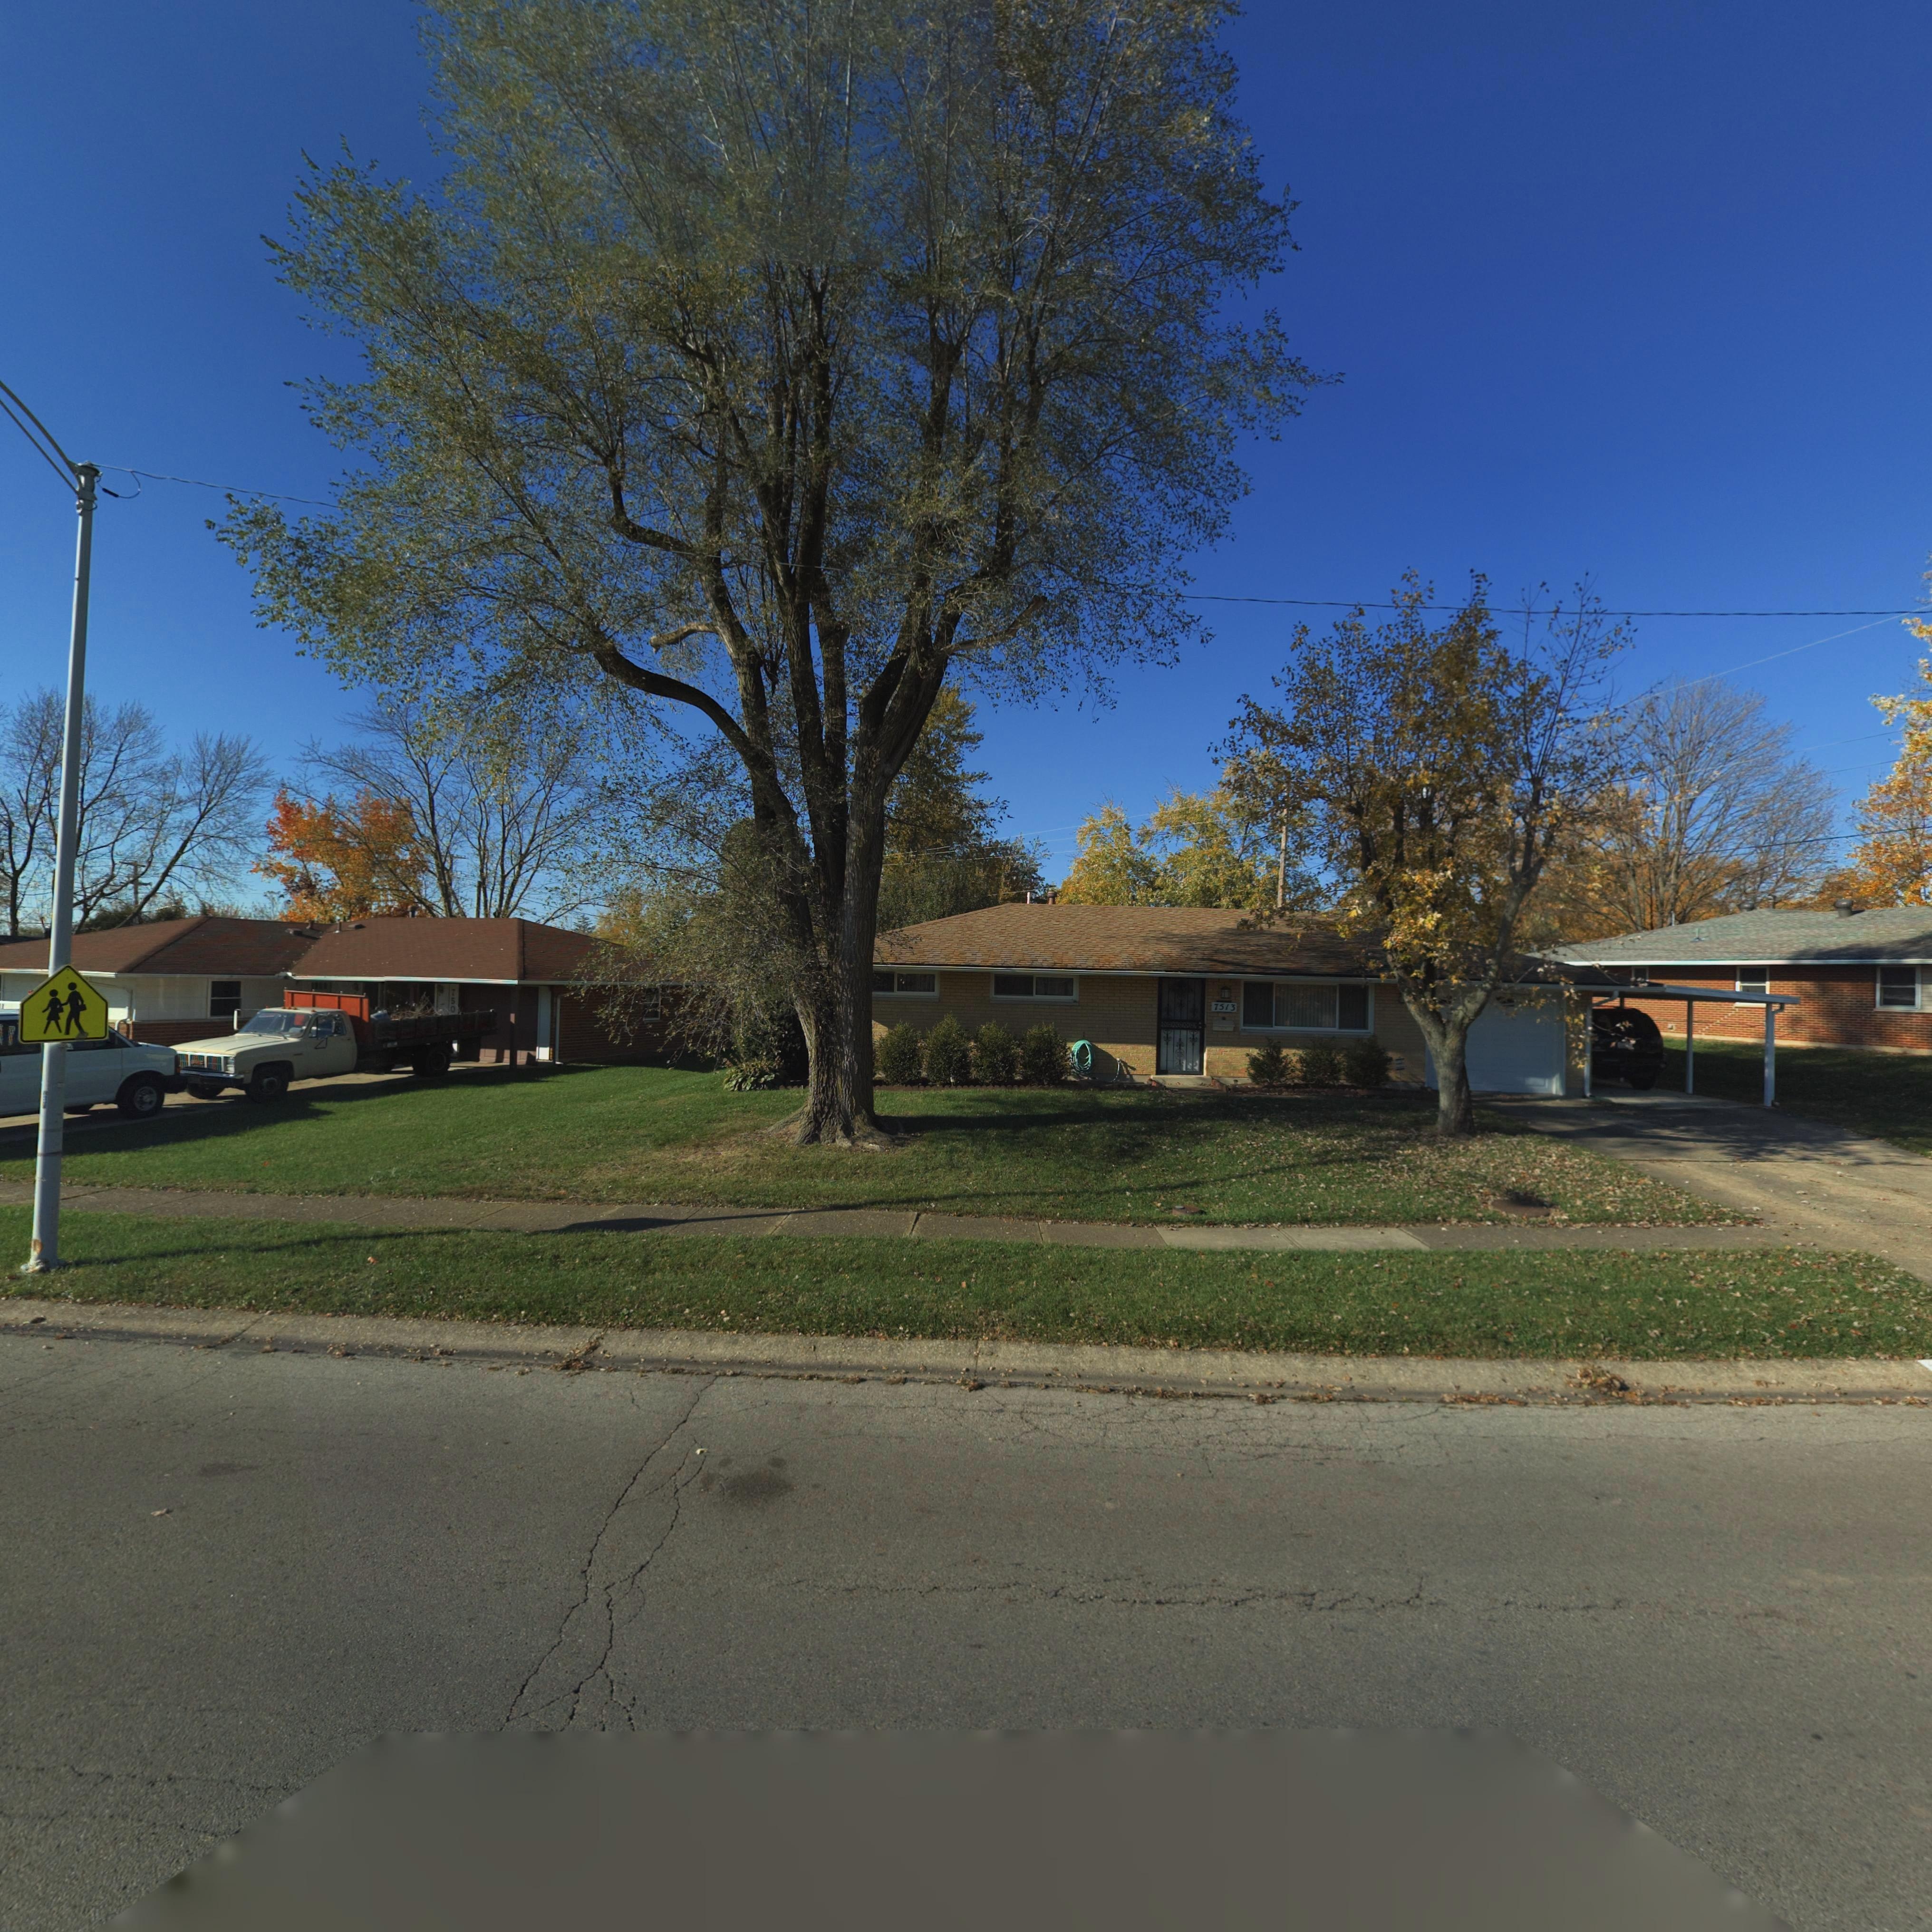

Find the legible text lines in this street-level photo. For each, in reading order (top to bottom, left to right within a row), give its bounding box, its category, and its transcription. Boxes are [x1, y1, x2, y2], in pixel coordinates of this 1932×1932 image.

[449, 988, 457, 1014] StreetNumber: 750
[1213, 1003, 1236, 1012] StreetNumber: 7513